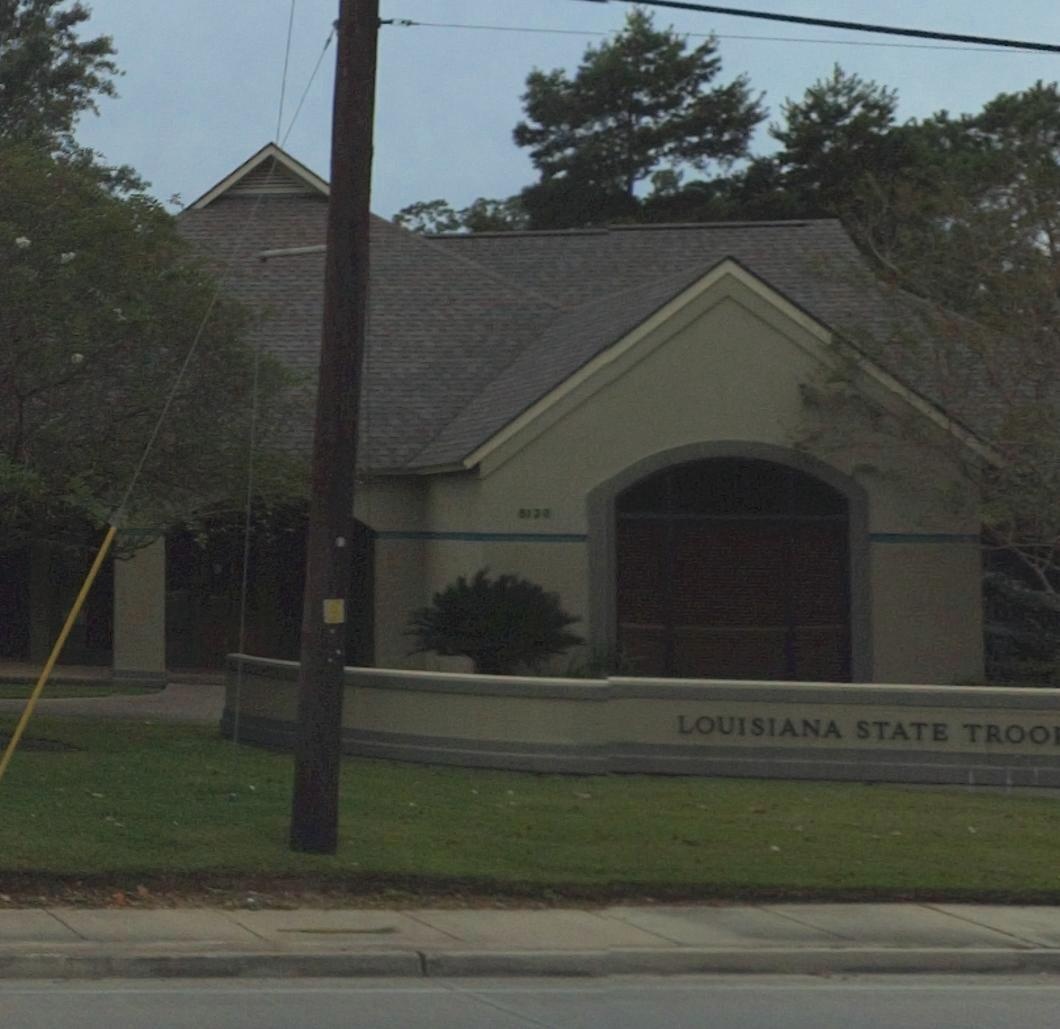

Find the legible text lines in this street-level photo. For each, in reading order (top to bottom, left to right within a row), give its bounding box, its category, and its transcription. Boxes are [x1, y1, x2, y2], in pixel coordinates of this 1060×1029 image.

[518, 507, 550, 519] StreetNumber: 8120
[676, 713, 1052, 746] BusinessName: LOUISIANA STATE TROO